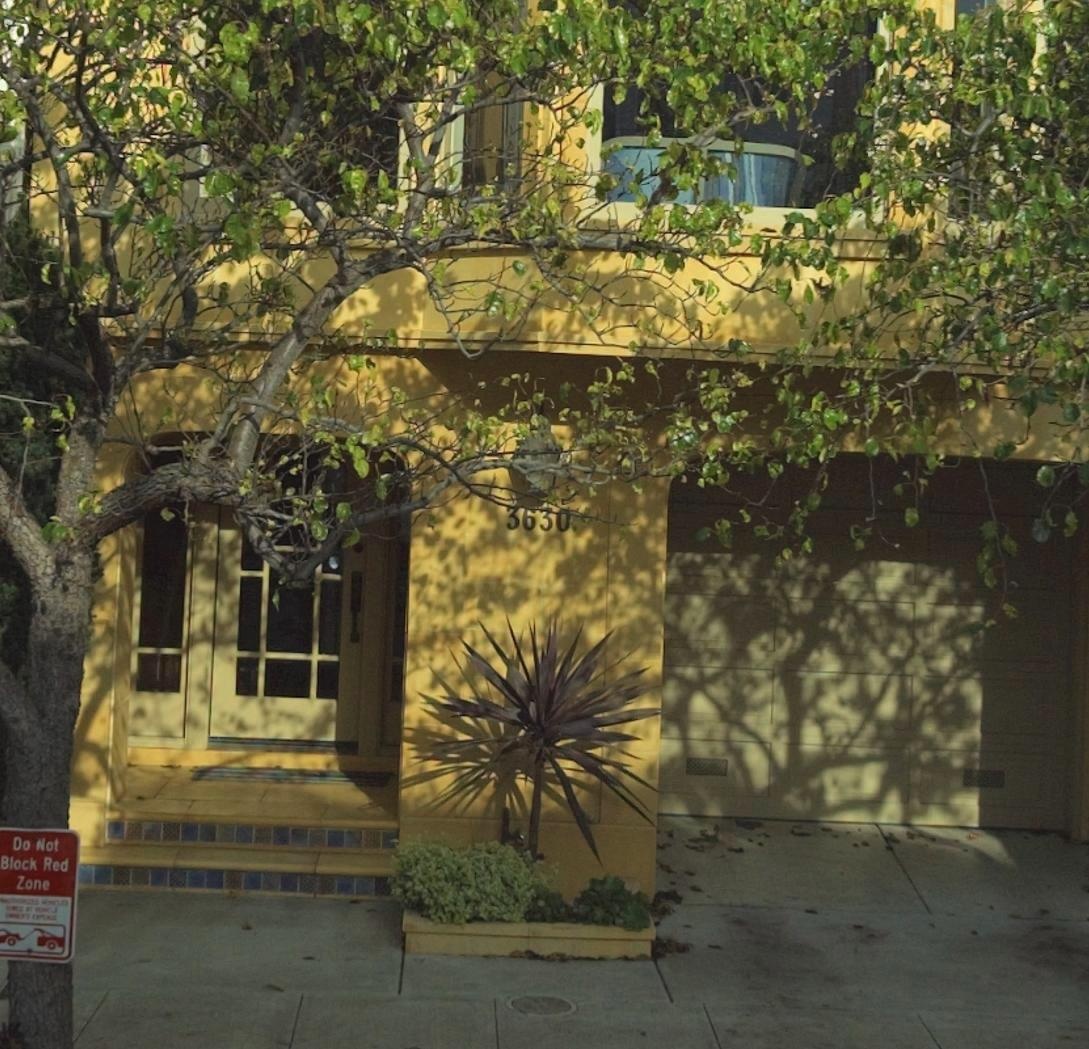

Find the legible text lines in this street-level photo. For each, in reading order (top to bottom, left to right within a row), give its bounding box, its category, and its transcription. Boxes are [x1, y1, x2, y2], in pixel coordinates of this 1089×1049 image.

[503, 504, 573, 535] StreetNumber: 3630
[9, 832, 62, 855] None: Do Not
[0, 853, 71, 875] None: Block Red
[14, 873, 53, 893] None: Zone